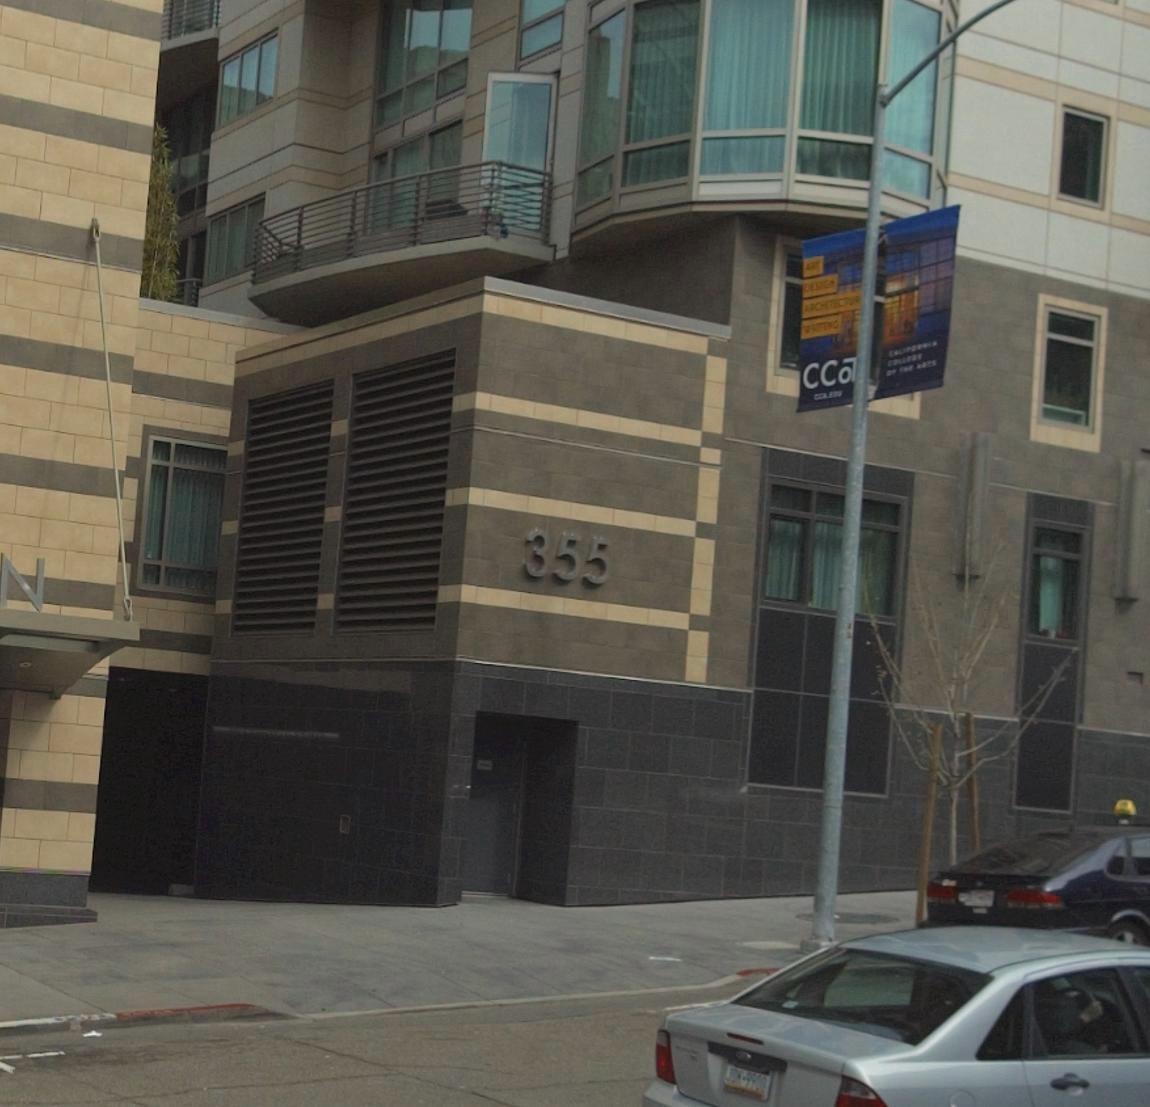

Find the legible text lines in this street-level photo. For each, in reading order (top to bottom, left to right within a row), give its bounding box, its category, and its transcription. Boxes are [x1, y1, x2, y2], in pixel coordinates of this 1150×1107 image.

[798, 355, 853, 392] None: CCo
[519, 526, 613, 588] StreetNumber: 355